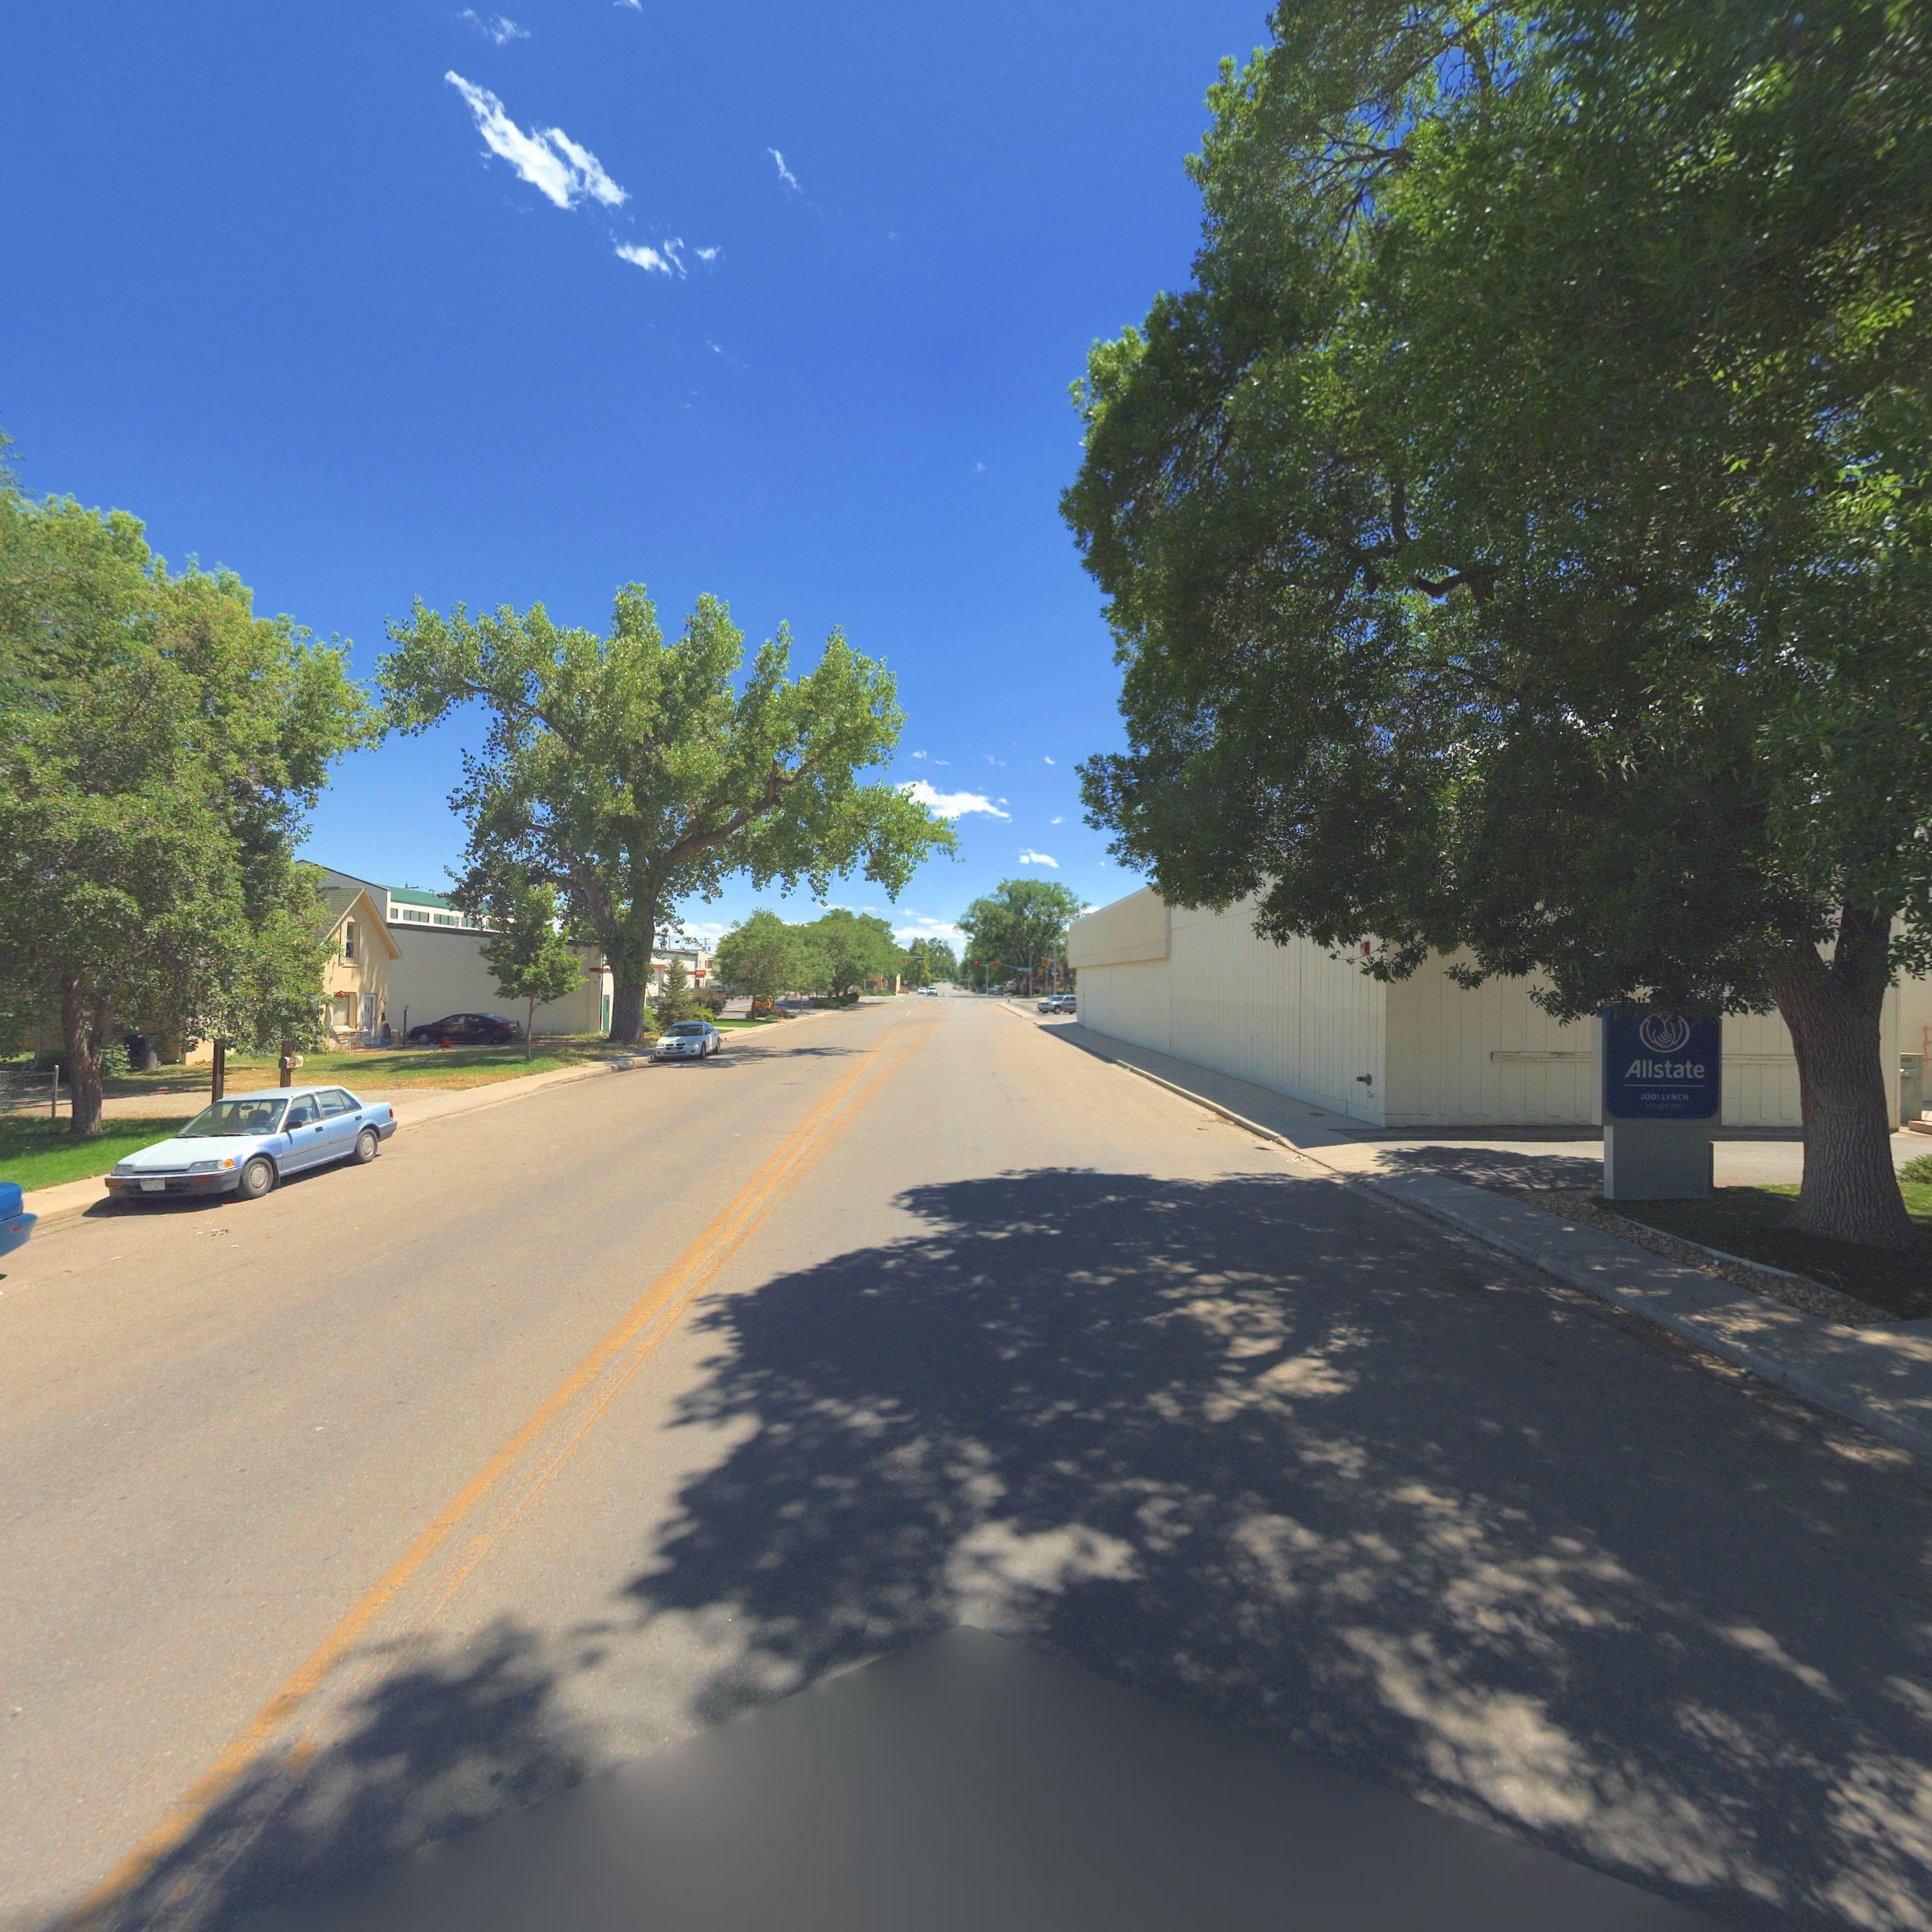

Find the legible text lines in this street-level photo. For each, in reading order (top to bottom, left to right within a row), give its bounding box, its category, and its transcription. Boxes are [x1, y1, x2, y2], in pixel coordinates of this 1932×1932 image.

[379, 997, 386, 1005] StreetNumber: 926
[1623, 1059, 1705, 1079] BusinessName: Allstate
[1640, 1093, 1688, 1101] BusinessName: JODI LYNCH